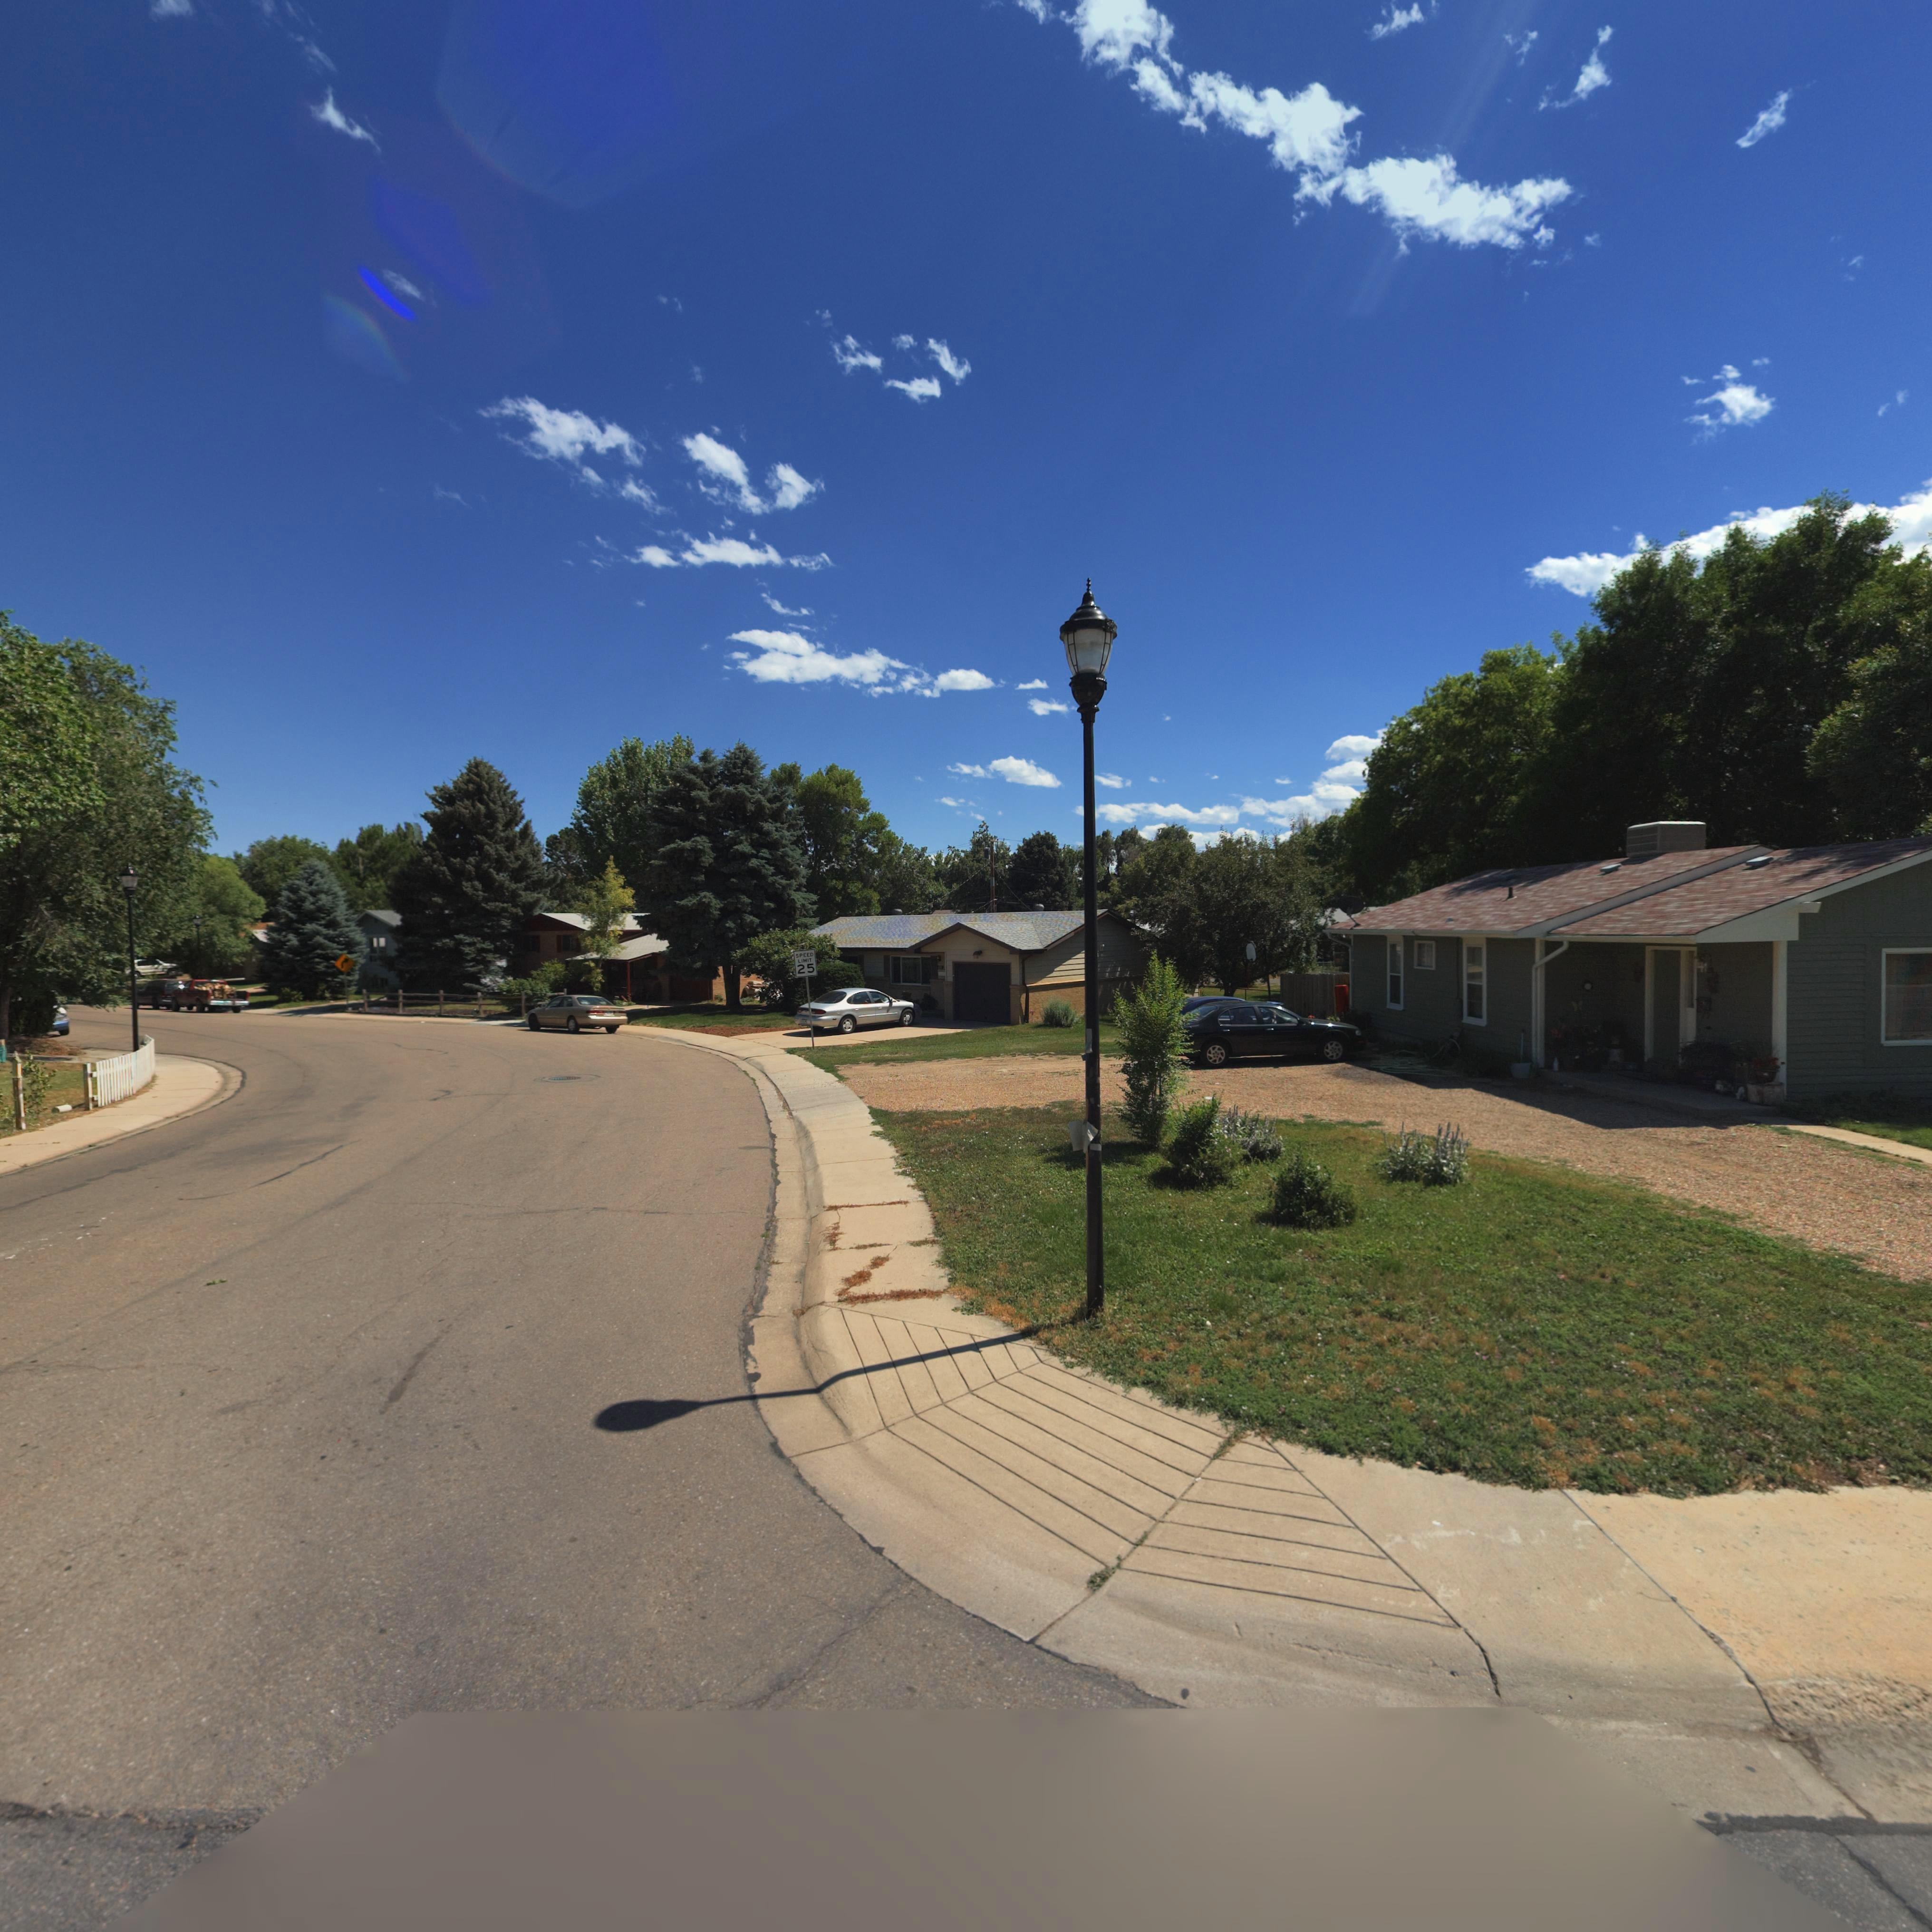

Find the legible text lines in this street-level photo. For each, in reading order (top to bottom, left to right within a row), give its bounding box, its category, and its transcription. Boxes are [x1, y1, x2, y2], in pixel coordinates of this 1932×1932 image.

[1696, 962, 1707, 973] StreetNumber: 41